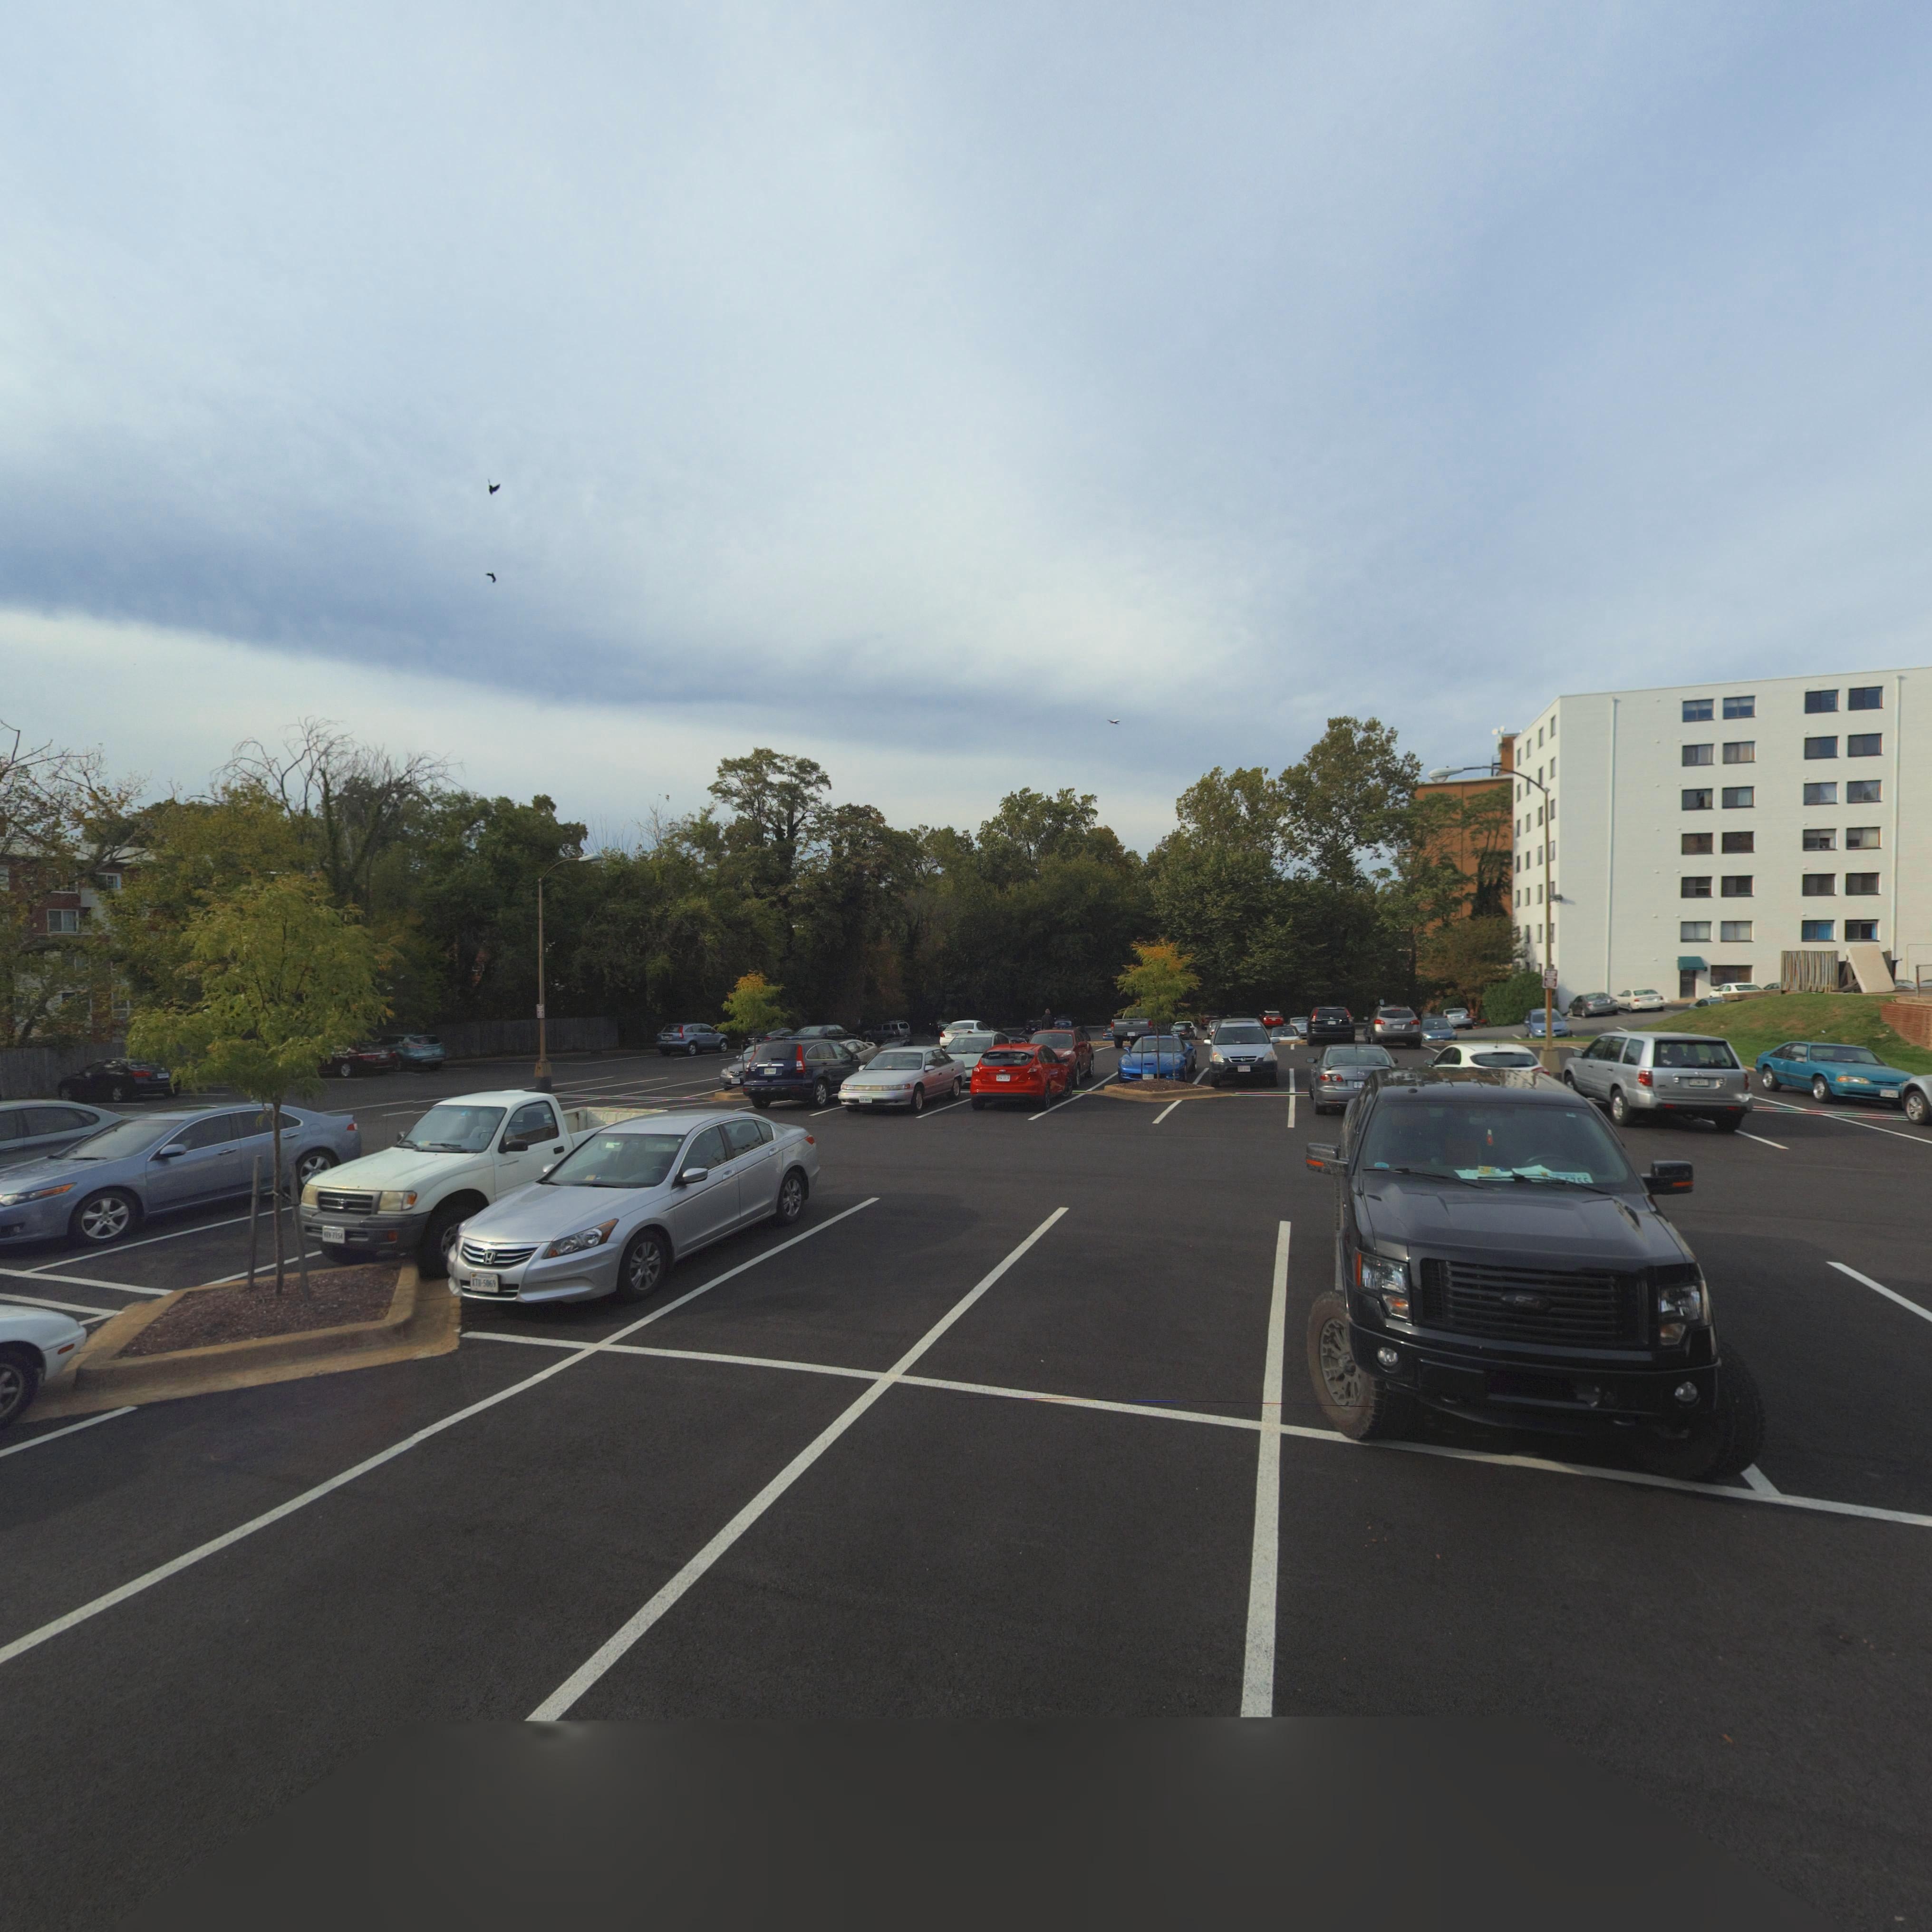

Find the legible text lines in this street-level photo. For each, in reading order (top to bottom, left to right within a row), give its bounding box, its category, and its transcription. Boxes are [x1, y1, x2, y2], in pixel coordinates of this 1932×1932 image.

[323, 1231, 343, 1240] None: ***-7154
[472, 1278, 496, 1288] None: KT*-5069